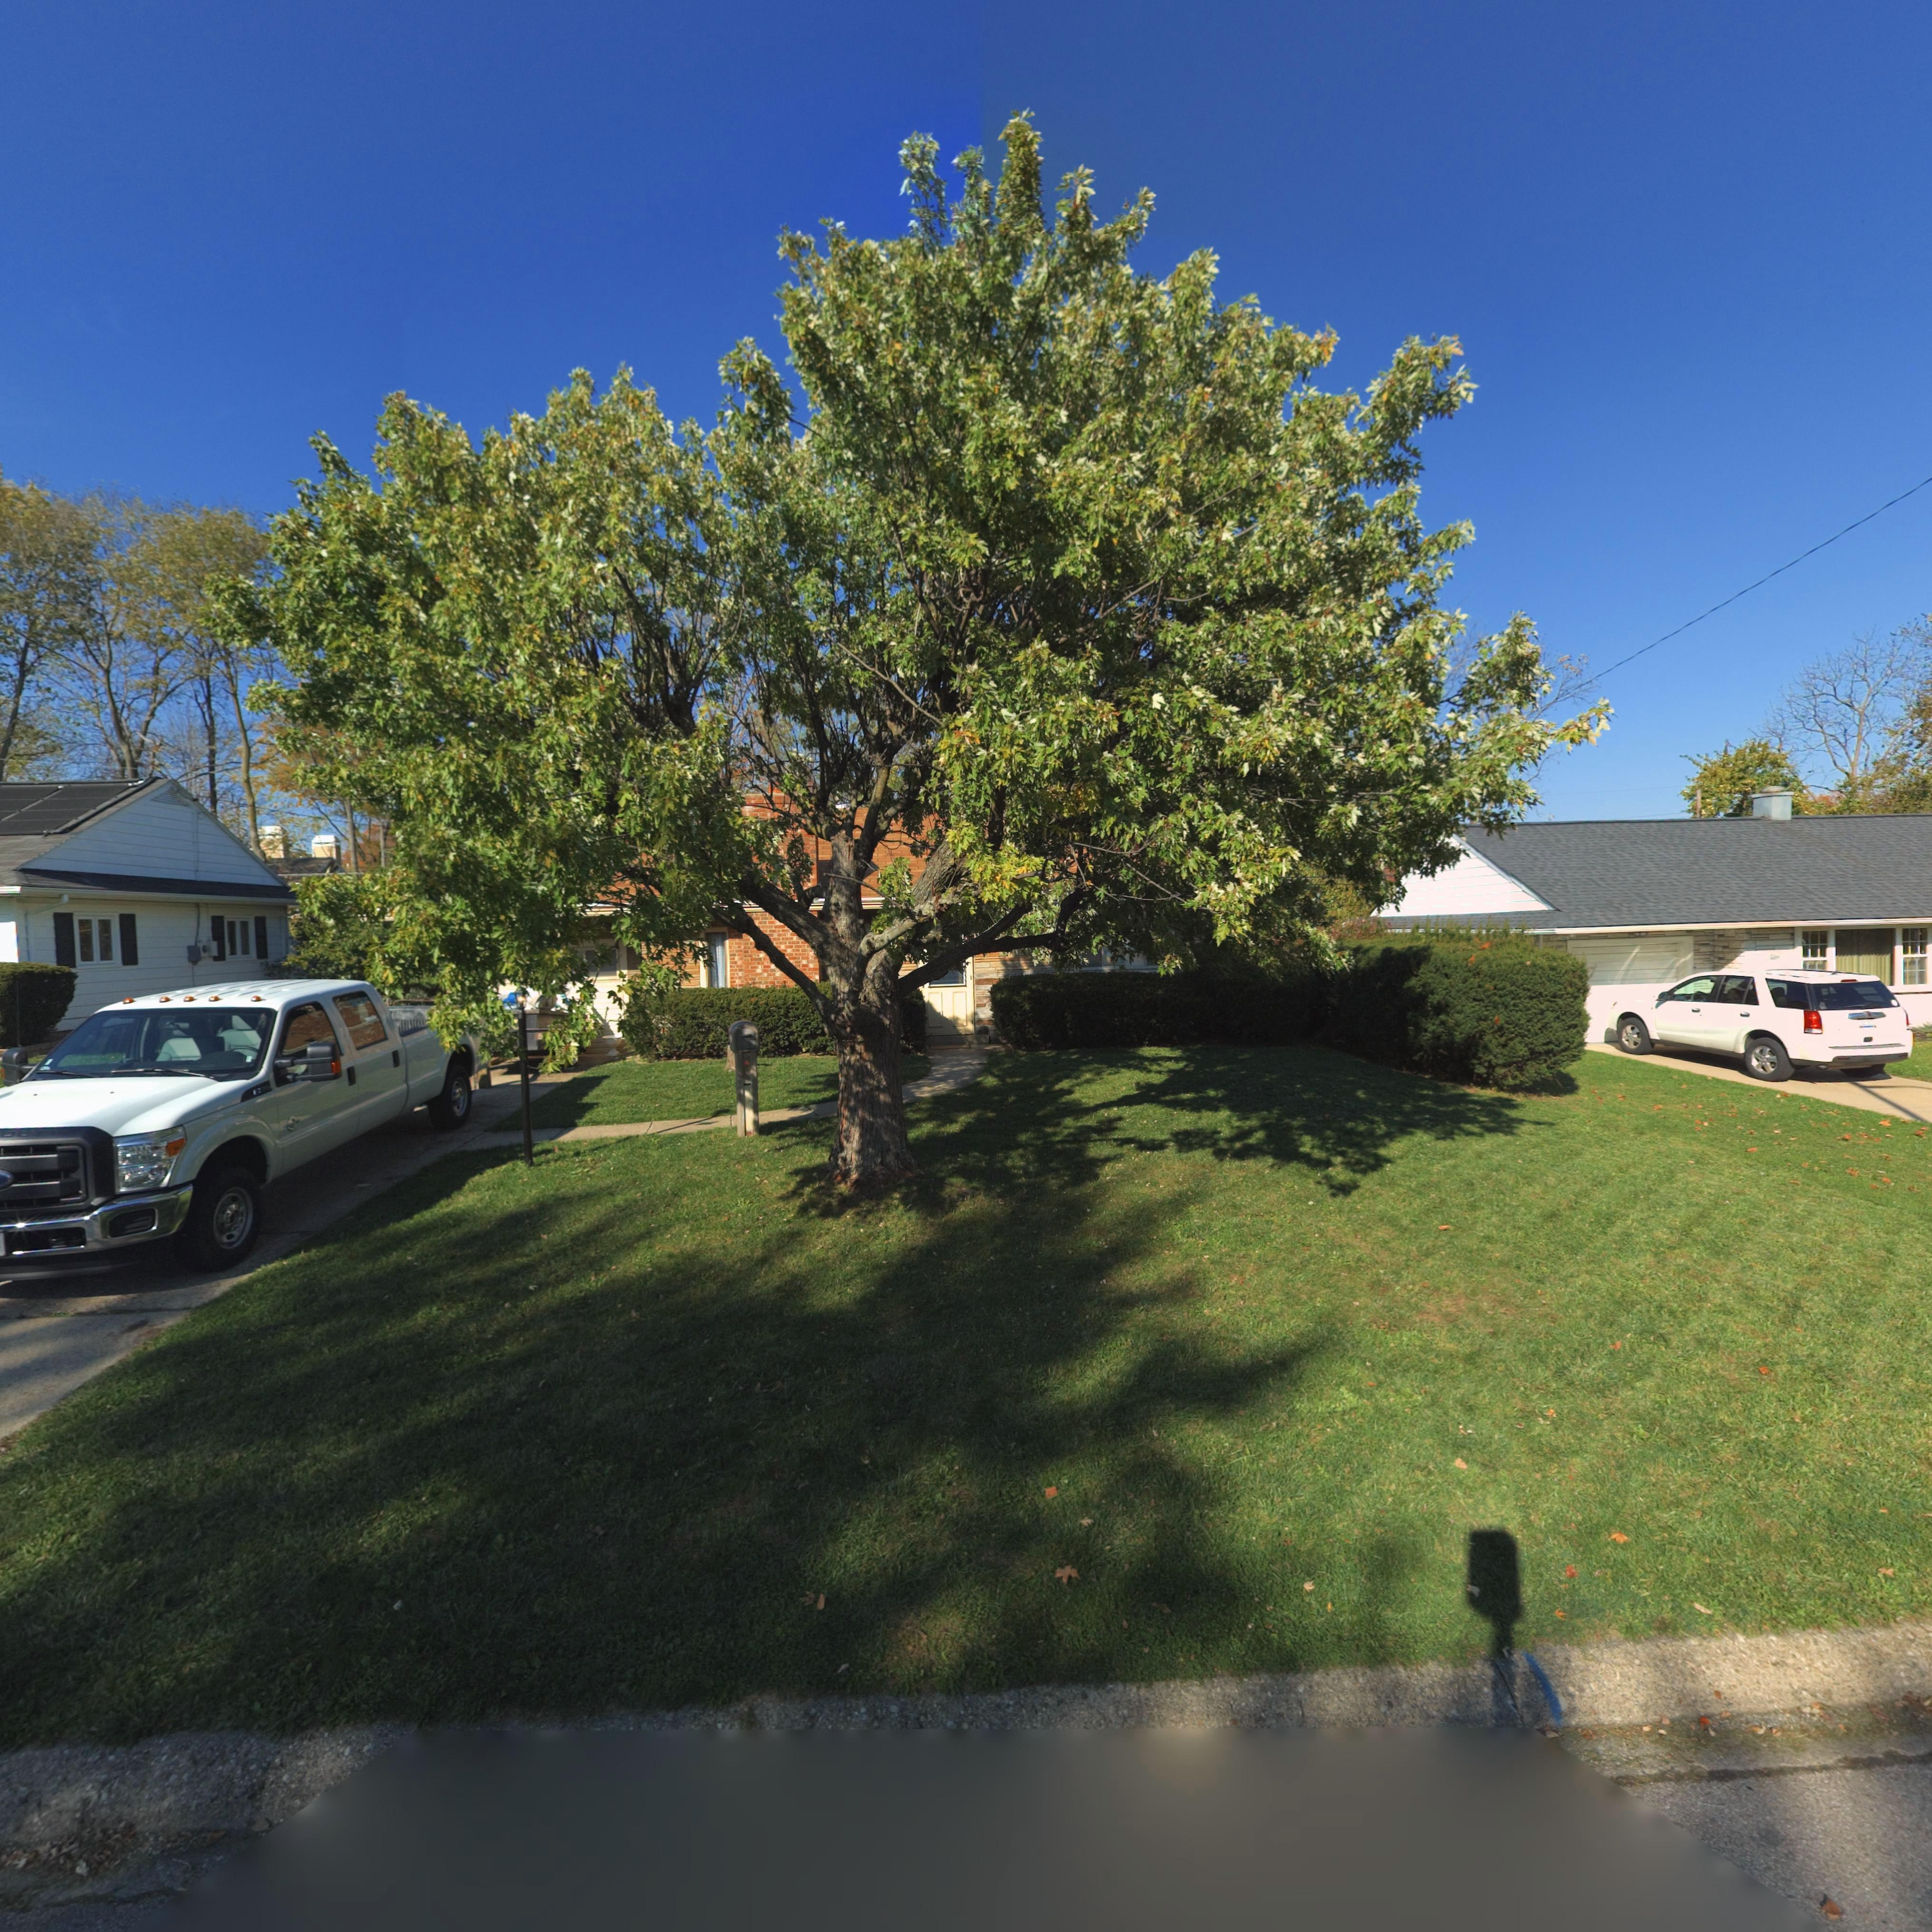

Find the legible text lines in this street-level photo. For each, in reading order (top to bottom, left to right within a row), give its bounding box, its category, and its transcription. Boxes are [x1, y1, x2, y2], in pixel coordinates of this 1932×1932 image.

[1, 1128, 66, 1137] None: DUTY